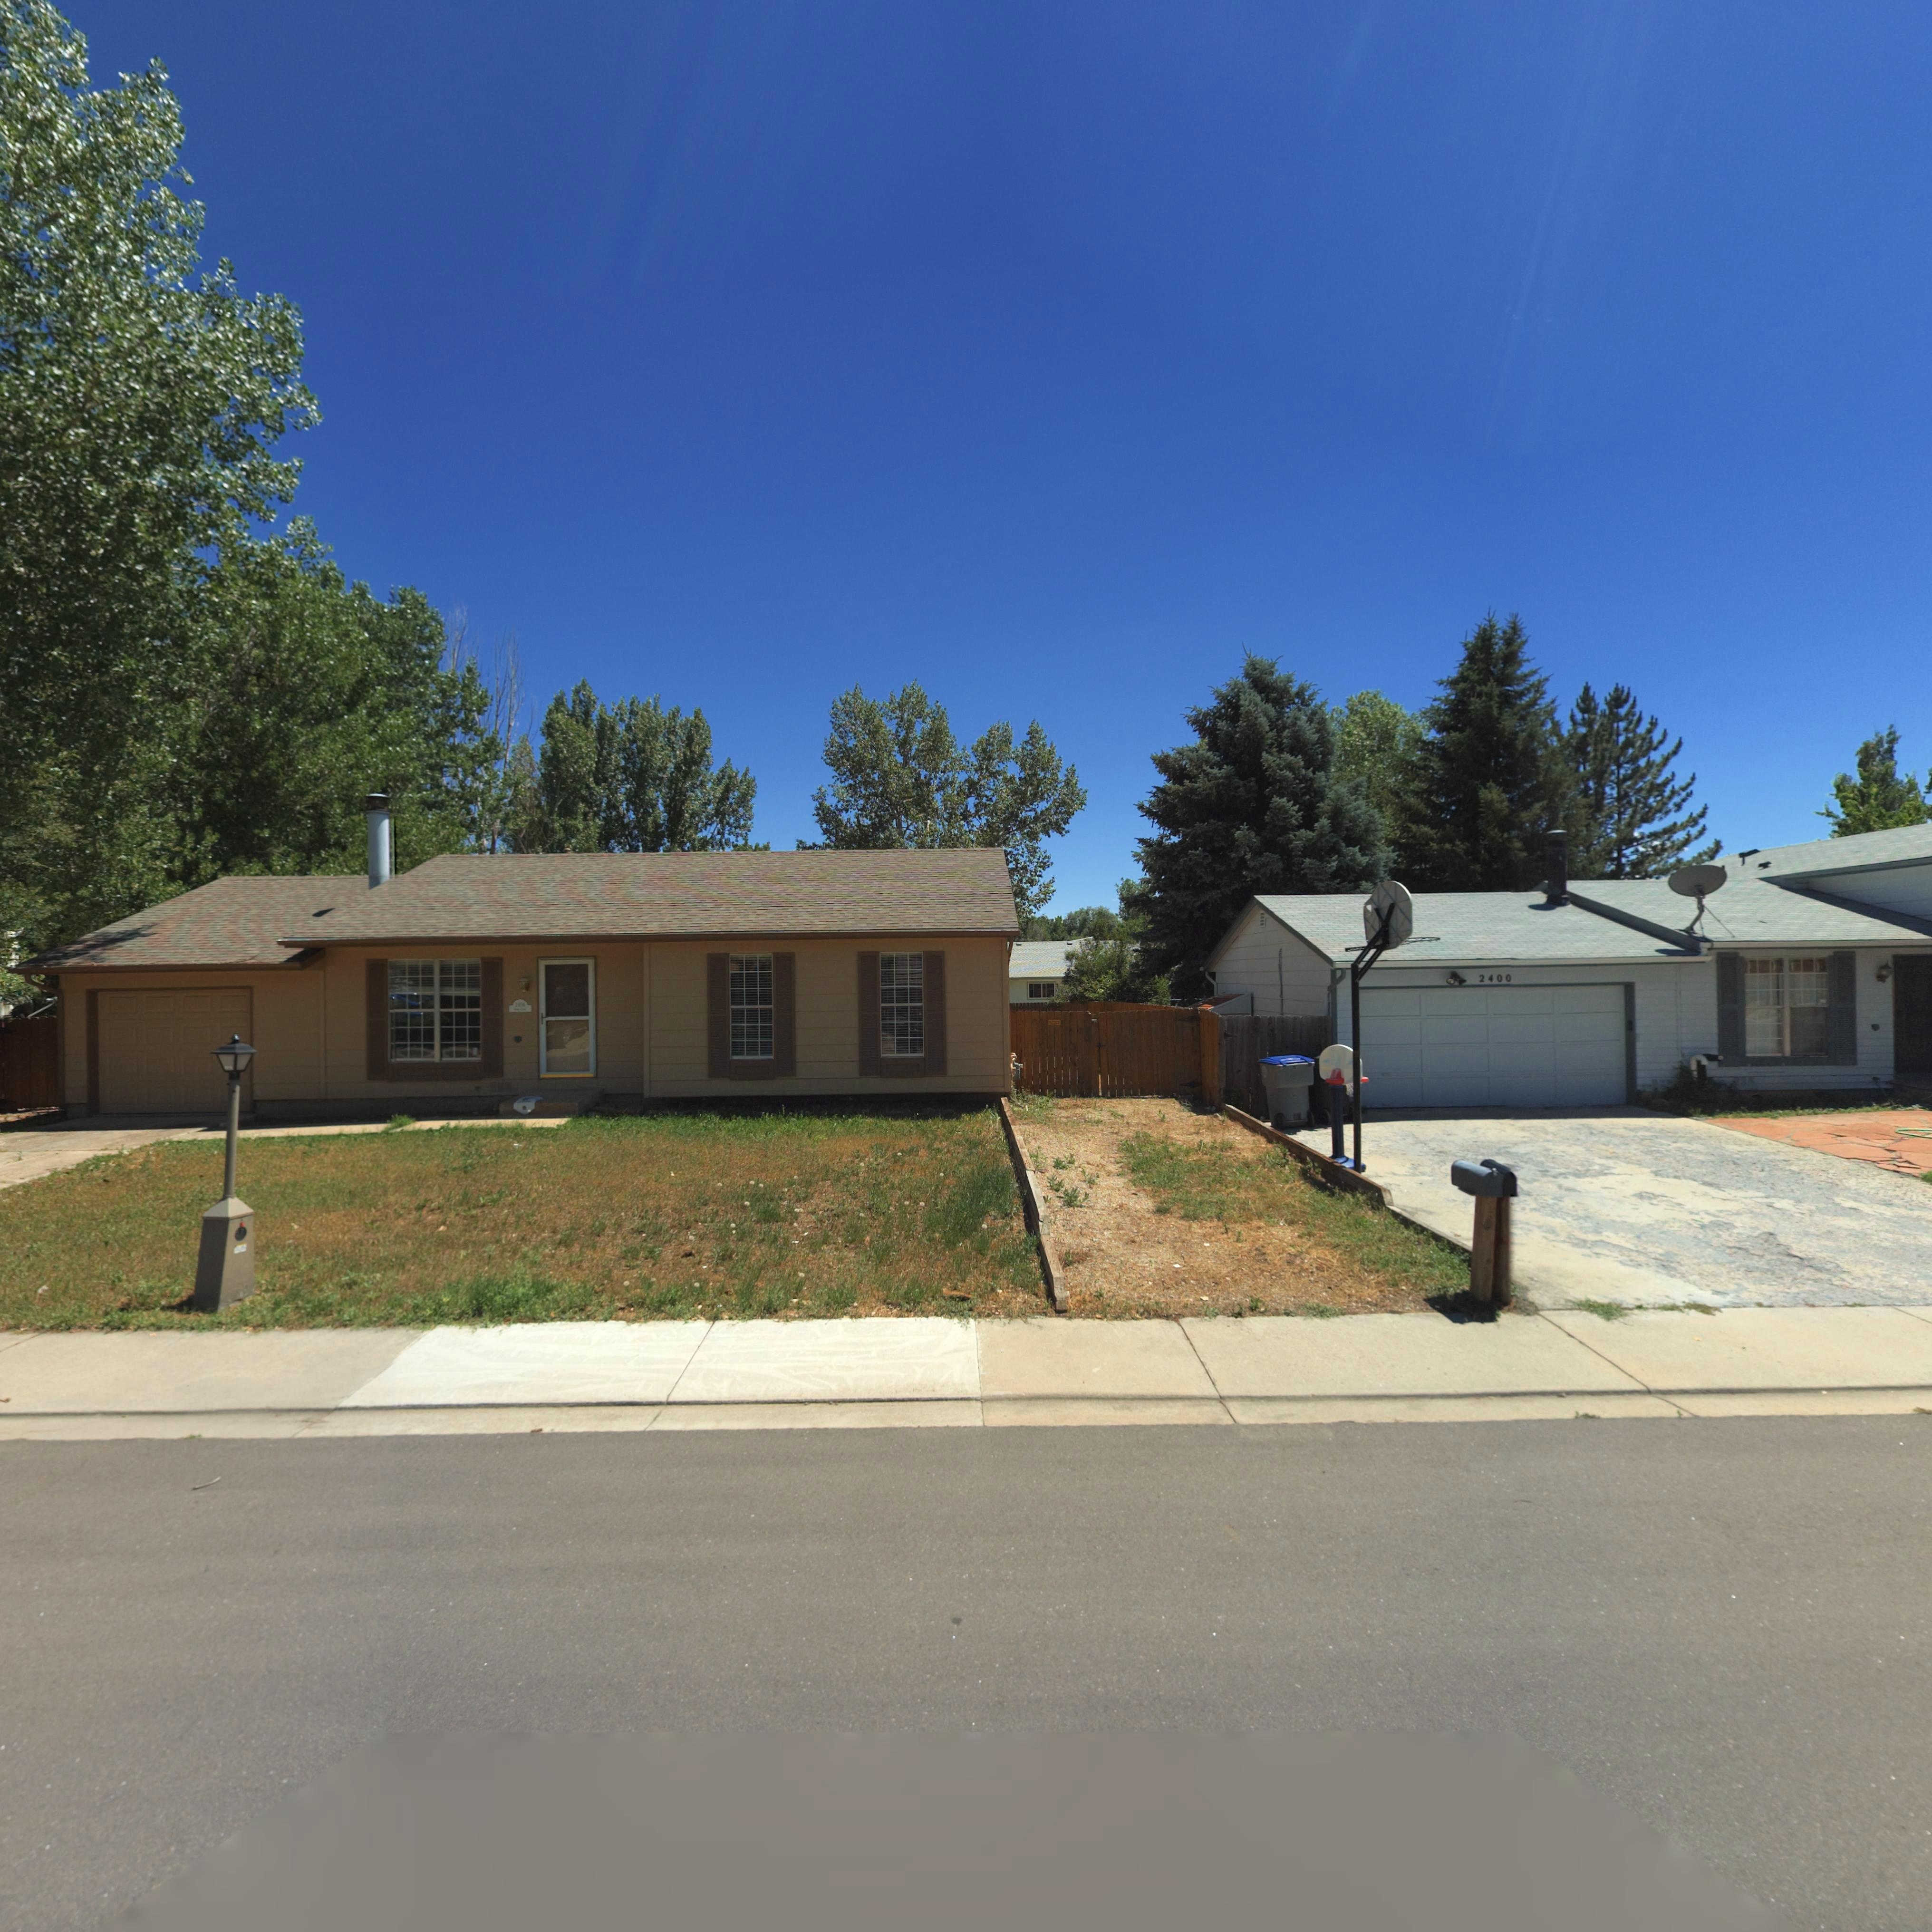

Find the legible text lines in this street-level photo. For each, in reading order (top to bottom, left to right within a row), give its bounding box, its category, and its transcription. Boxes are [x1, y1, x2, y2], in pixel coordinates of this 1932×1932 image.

[1478, 973, 1512, 983] StreetNumber: 2400
[514, 1002, 525, 1007] StreetNumber: 24**